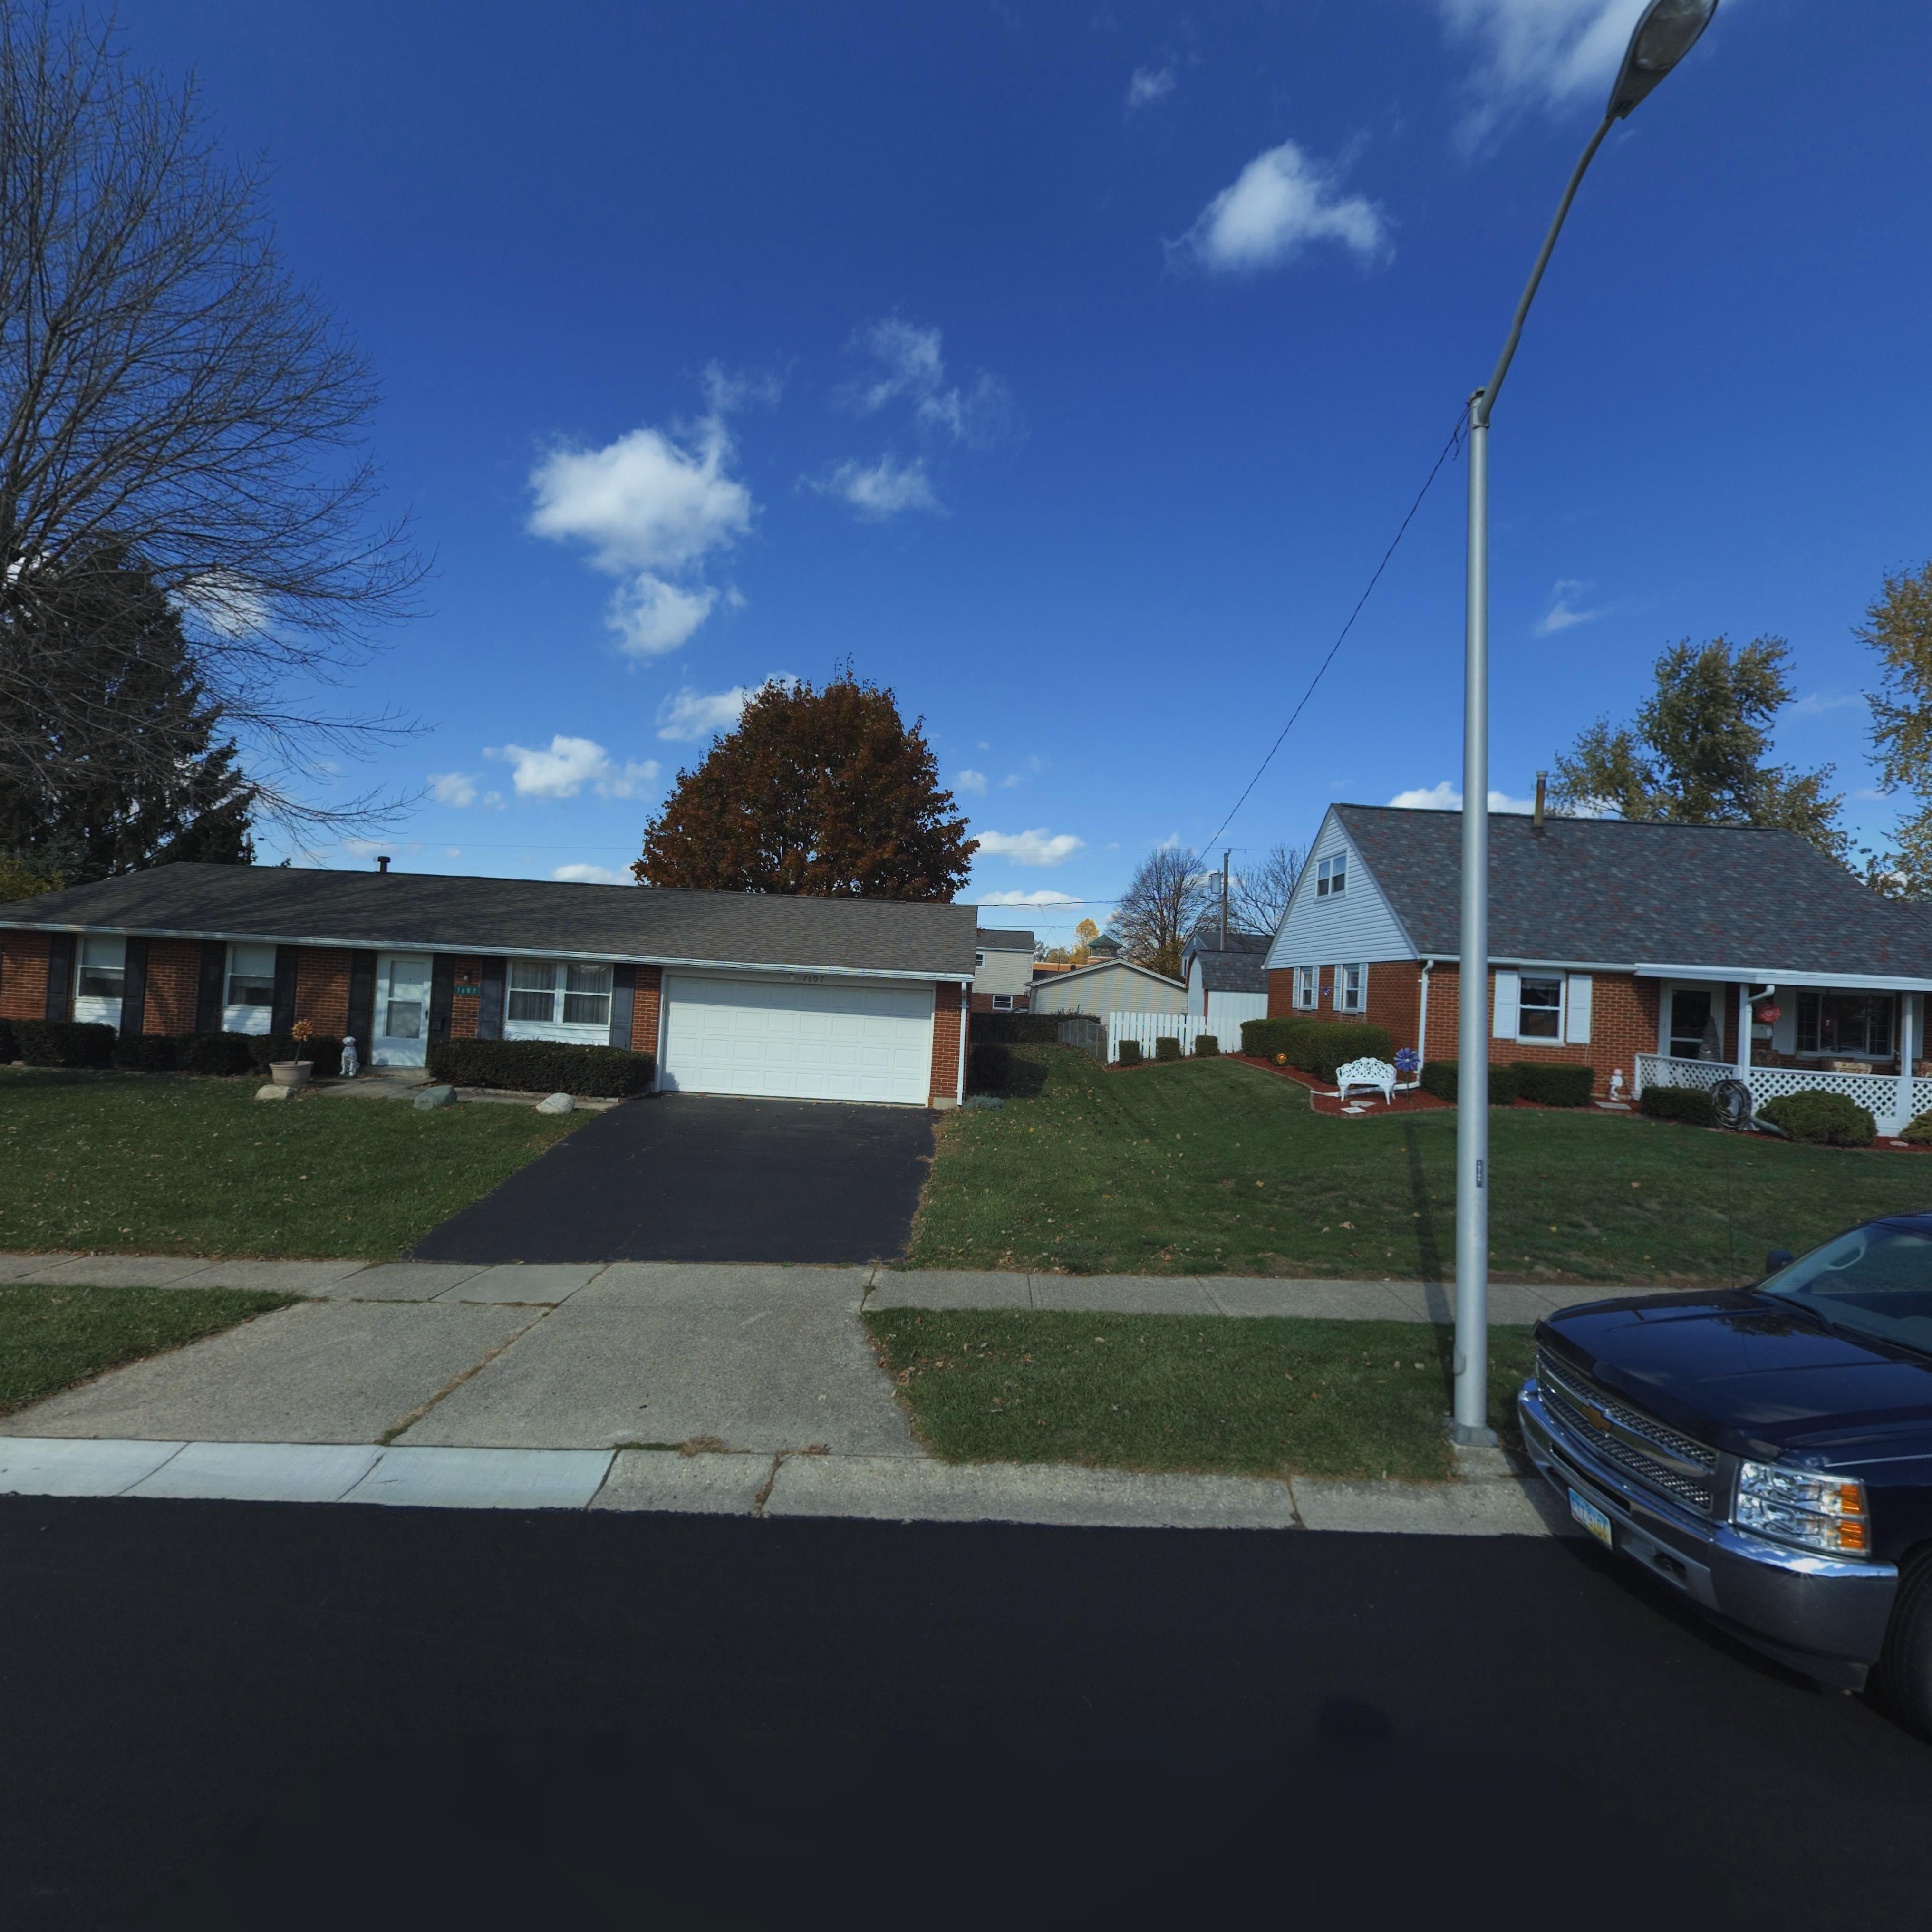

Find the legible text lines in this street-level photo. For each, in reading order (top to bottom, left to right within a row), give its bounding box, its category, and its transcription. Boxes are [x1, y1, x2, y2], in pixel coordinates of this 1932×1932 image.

[802, 975, 825, 983] StreetNumber: 7607
[456, 987, 477, 994] StreetNumber: 7607